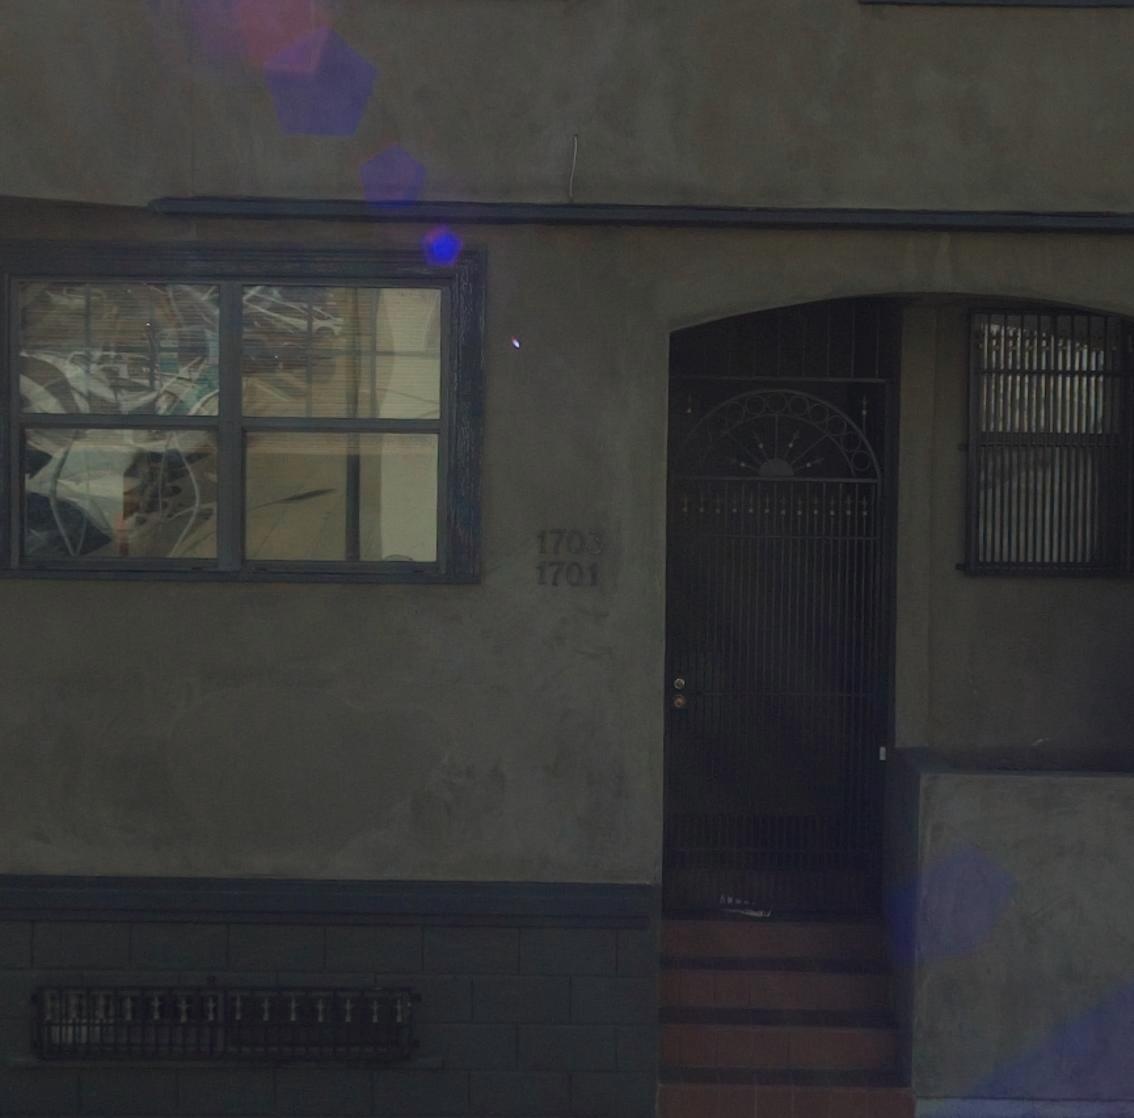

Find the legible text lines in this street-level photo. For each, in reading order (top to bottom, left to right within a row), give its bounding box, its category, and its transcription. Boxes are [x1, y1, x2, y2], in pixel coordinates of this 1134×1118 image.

[535, 527, 606, 557] StreetNumber: 1703
[534, 558, 602, 589] StreetNumber: 1701